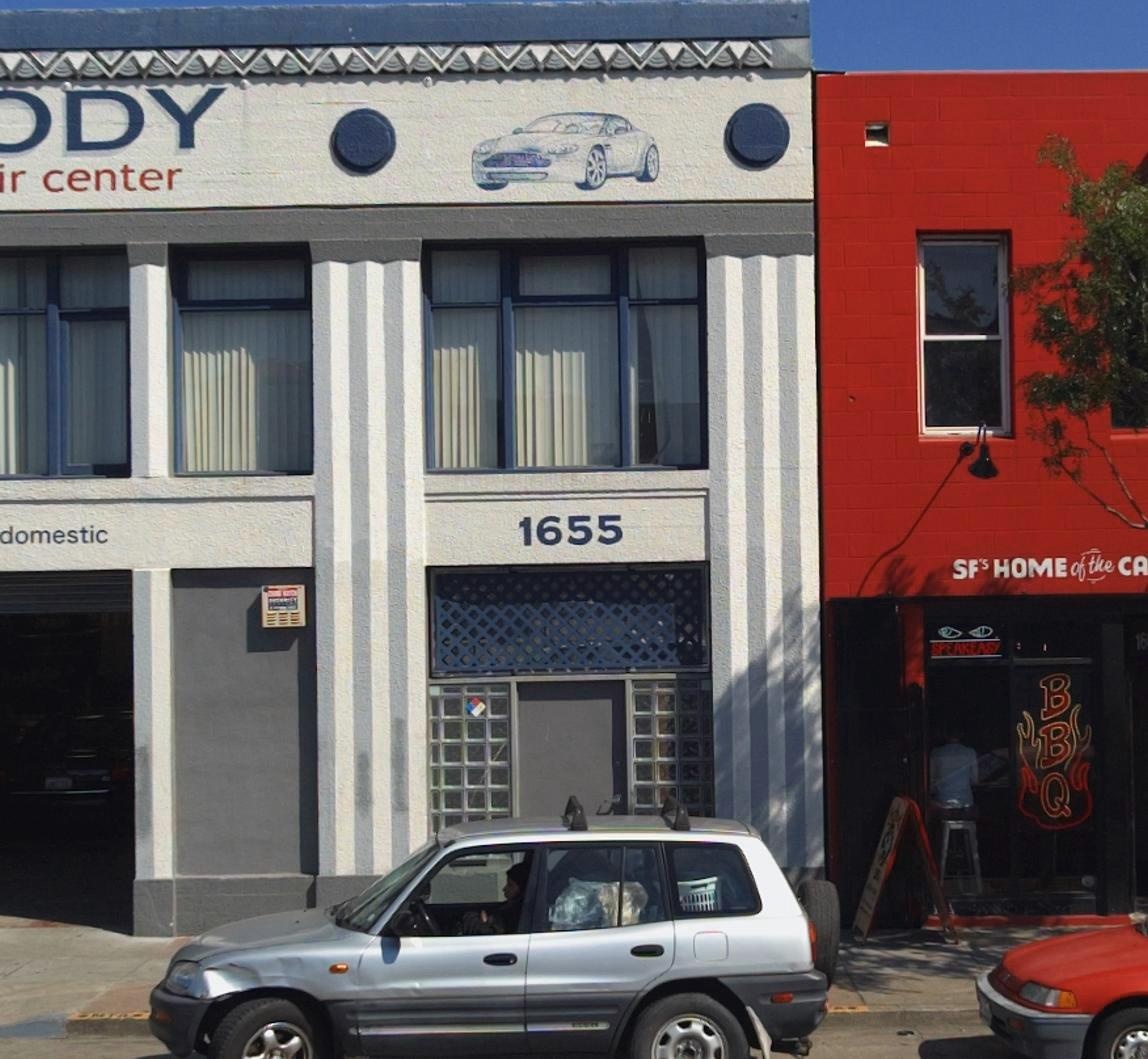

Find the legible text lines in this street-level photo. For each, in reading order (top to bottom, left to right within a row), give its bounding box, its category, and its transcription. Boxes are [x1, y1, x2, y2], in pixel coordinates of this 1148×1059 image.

[63, 87, 230, 152] BusinessName: DY
[0, 164, 184, 193] None: ir center
[0, 524, 111, 546] None: domestic
[518, 515, 626, 548] StreetNumber: 1655
[951, 555, 1147, 583] BusinessName: SF's HOME of the CA
[930, 642, 1001, 656] None: SPEAKEASY
[1134, 629, 1148, 651] StreetNumber: 16
[1037, 670, 1075, 821] None: BBQ